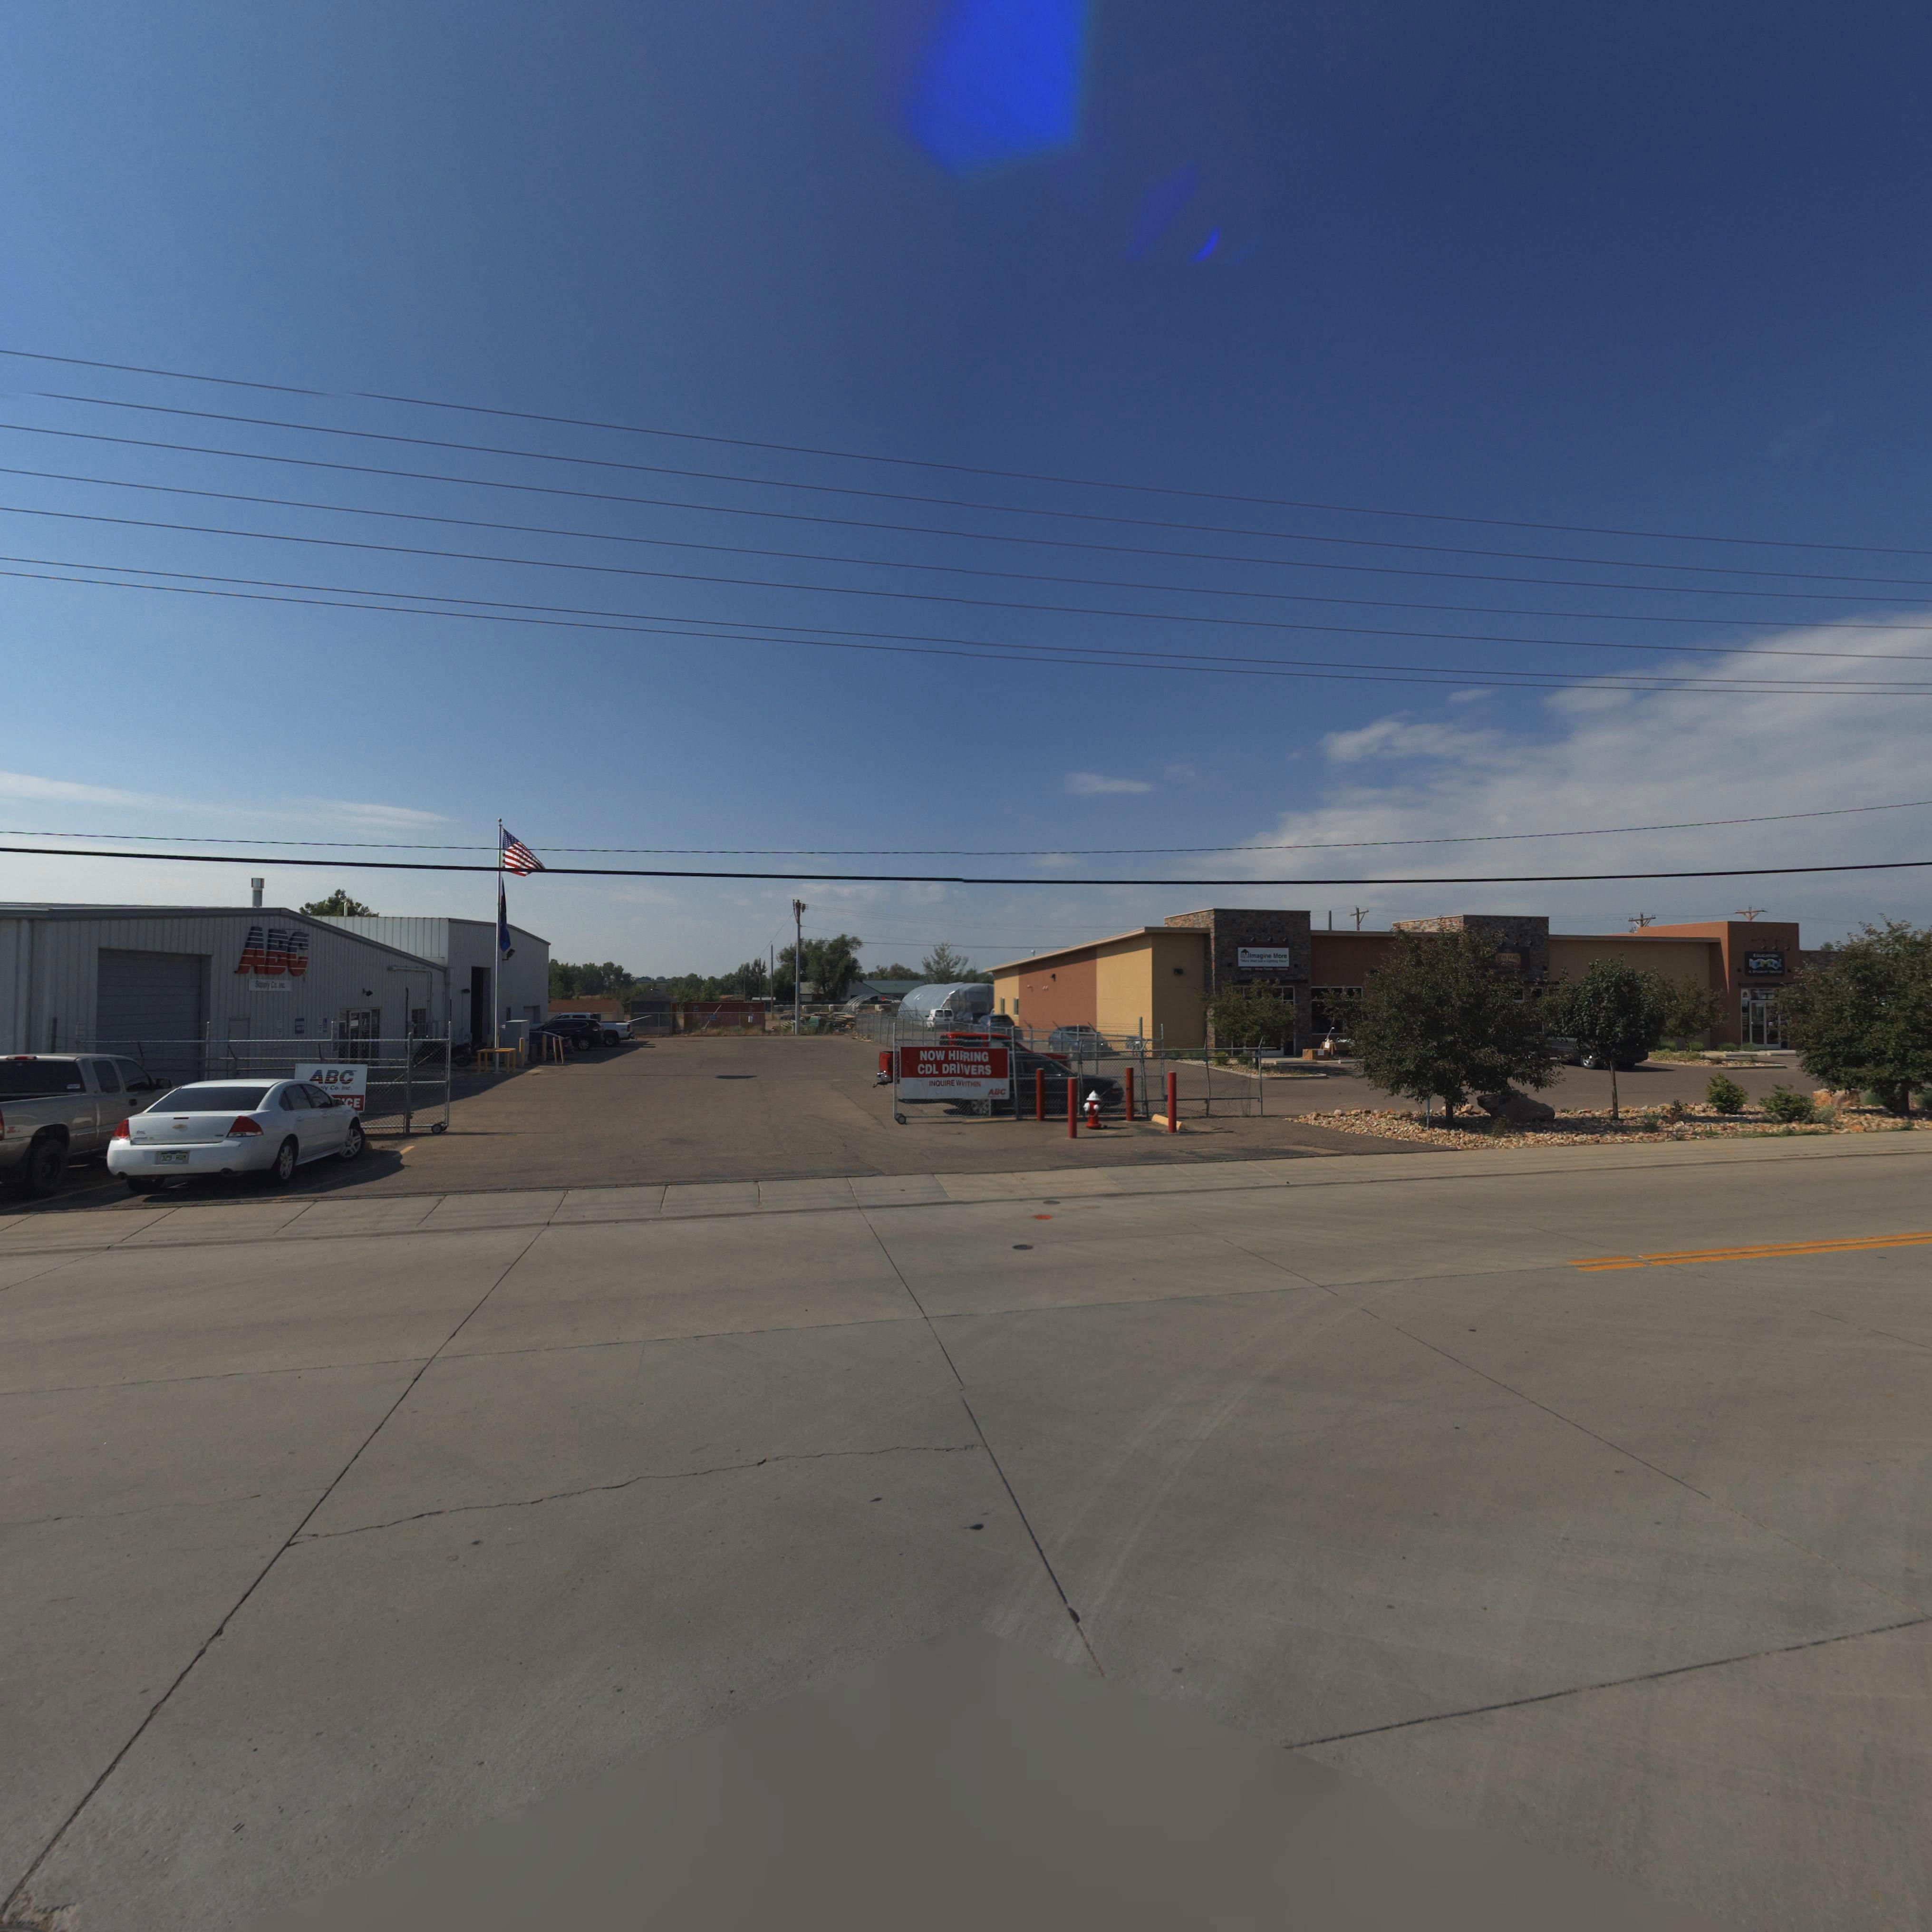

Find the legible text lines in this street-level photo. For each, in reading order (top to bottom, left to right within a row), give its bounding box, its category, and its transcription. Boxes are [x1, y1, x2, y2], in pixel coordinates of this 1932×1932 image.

[233, 925, 310, 977] BusinessName: ABC
[1241, 952, 1249, 958] BusinessName: IM
[1249, 953, 1287, 959] BusinessName: Imagine More
[1497, 954, 1519, 962] BusinessName: RE** *EALS
[1753, 953, 1778, 957] BusinessName: EDUCATION
[1748, 958, 1782, 969] BusinessName: REMIX
[308, 1069, 357, 1084] BusinessName: ABC